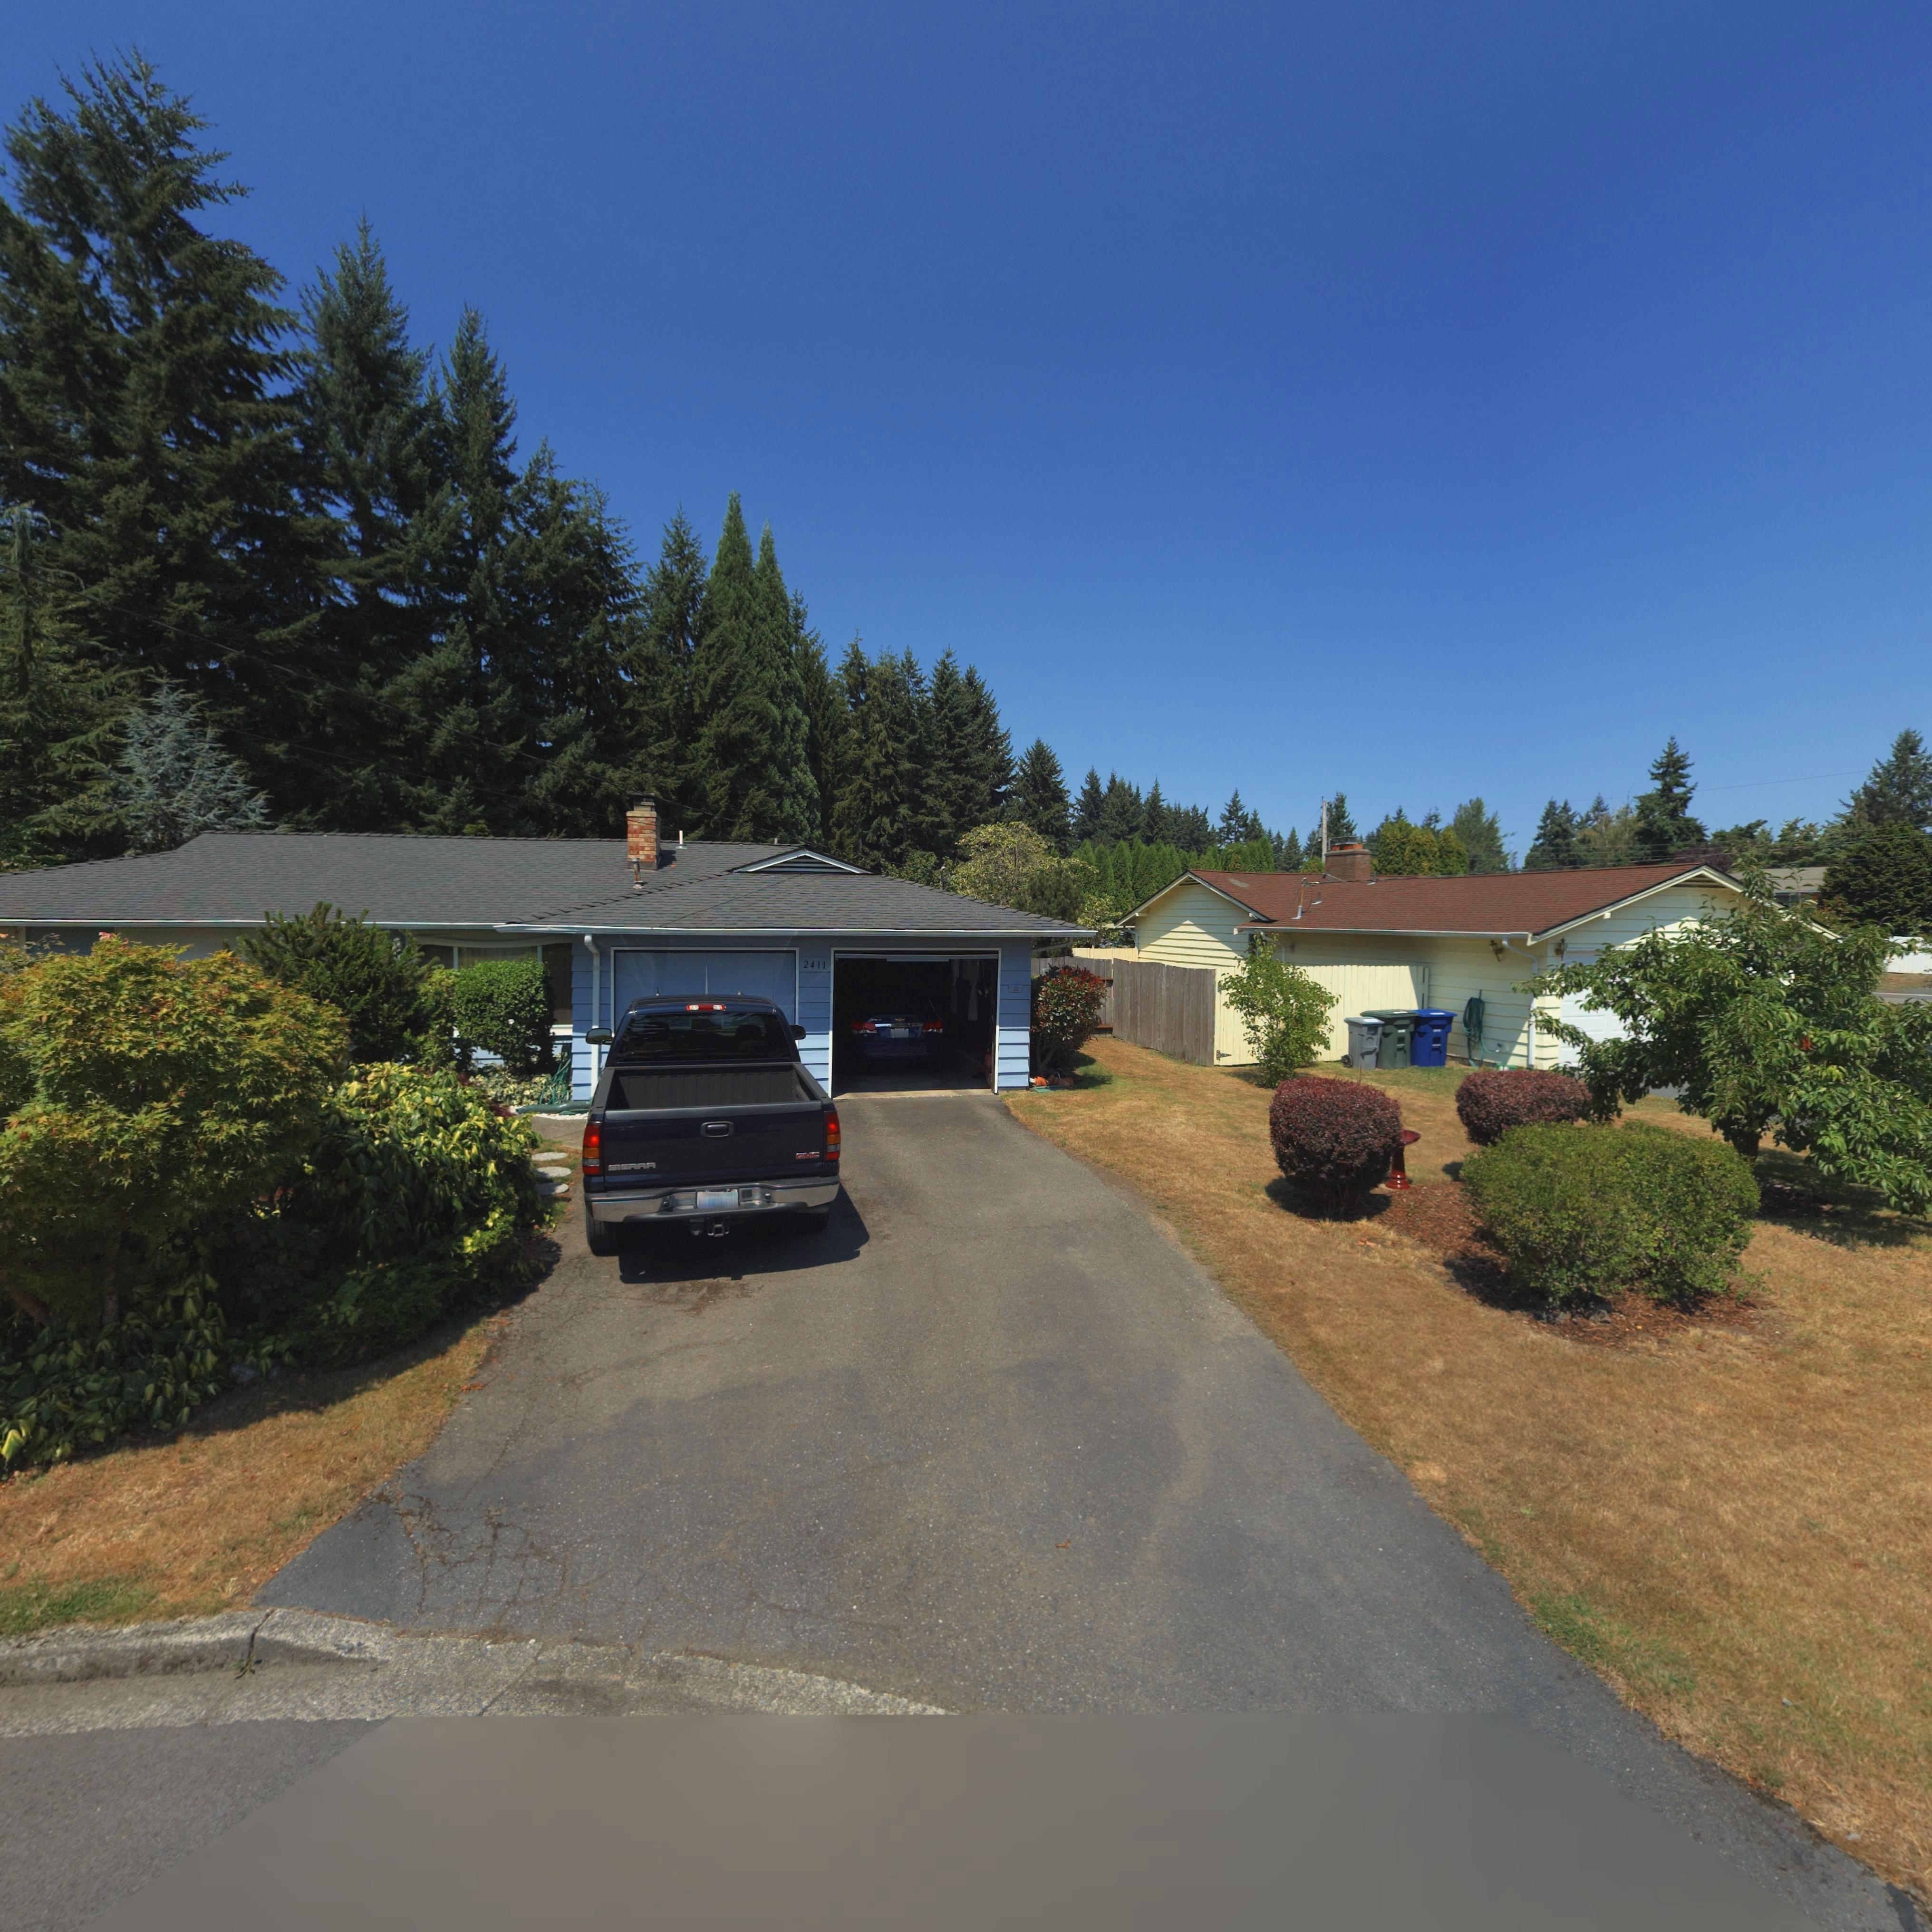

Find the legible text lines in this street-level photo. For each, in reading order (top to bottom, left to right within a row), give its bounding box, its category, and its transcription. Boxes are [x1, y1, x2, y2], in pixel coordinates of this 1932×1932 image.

[803, 960, 826, 969] StreetNumber: 2411